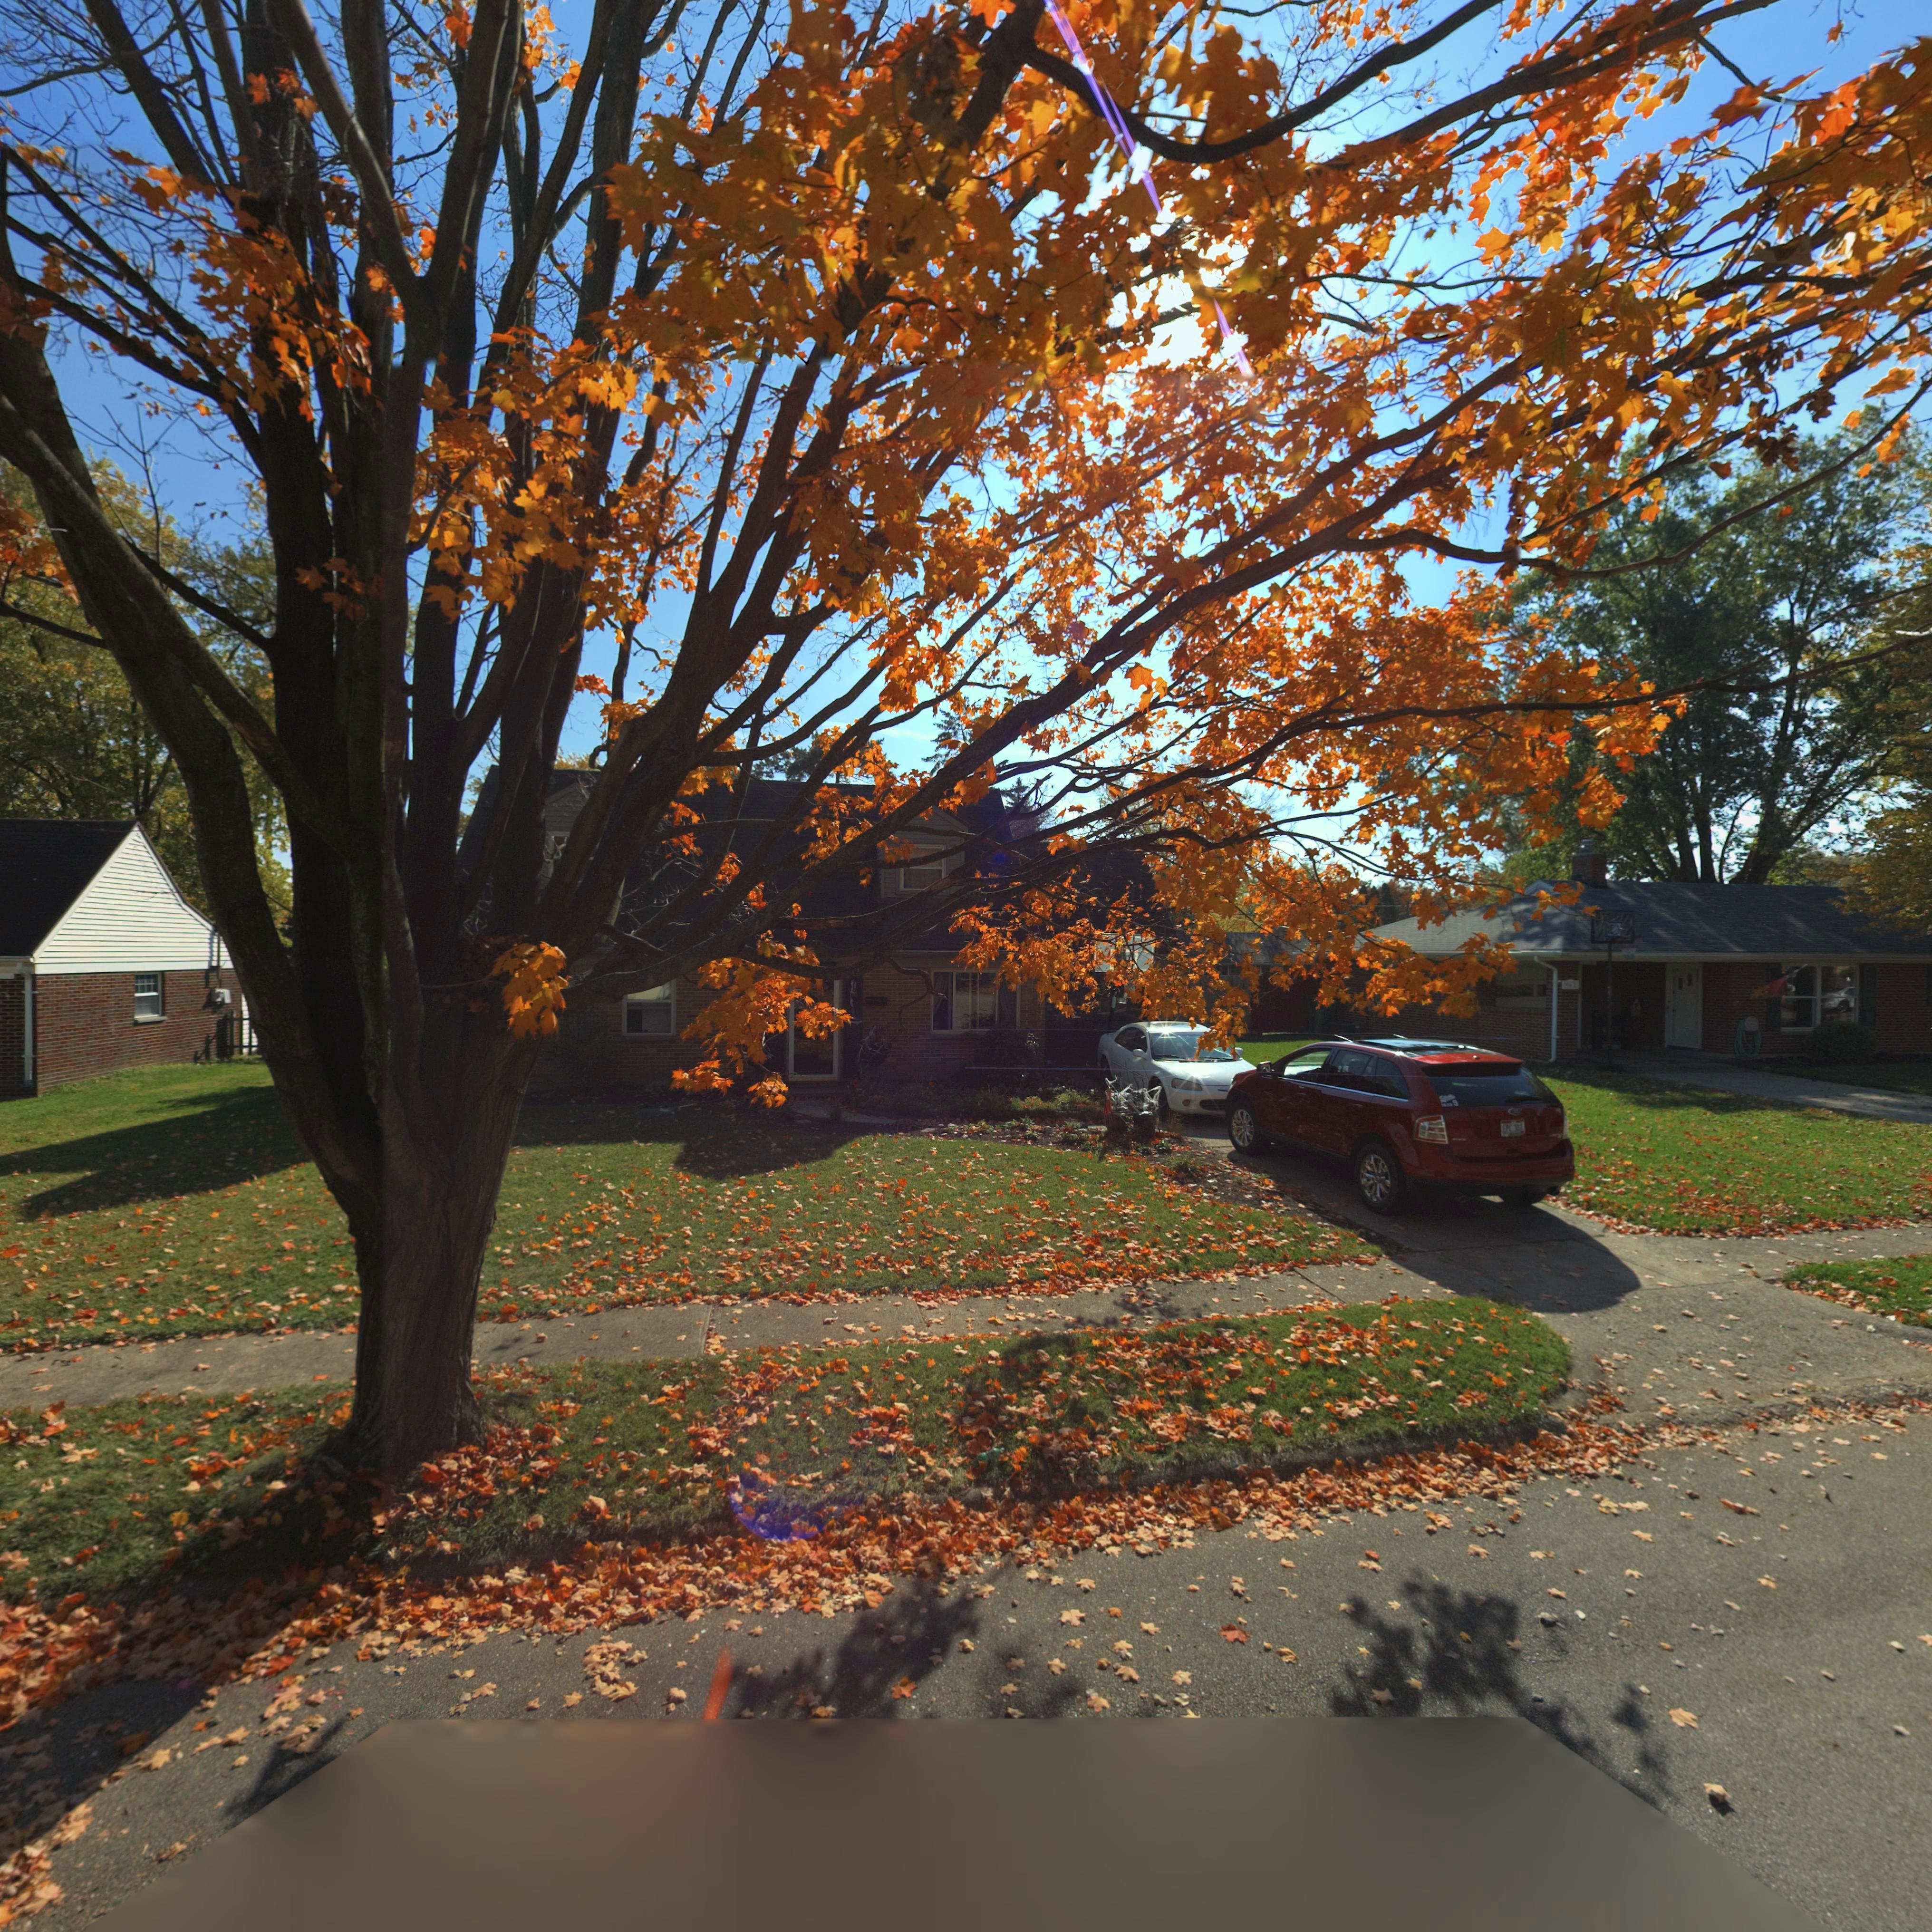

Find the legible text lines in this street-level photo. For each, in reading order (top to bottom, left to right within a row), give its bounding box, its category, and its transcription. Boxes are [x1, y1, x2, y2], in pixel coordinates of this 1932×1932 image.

[1451, 1099, 1459, 1107] None: 9